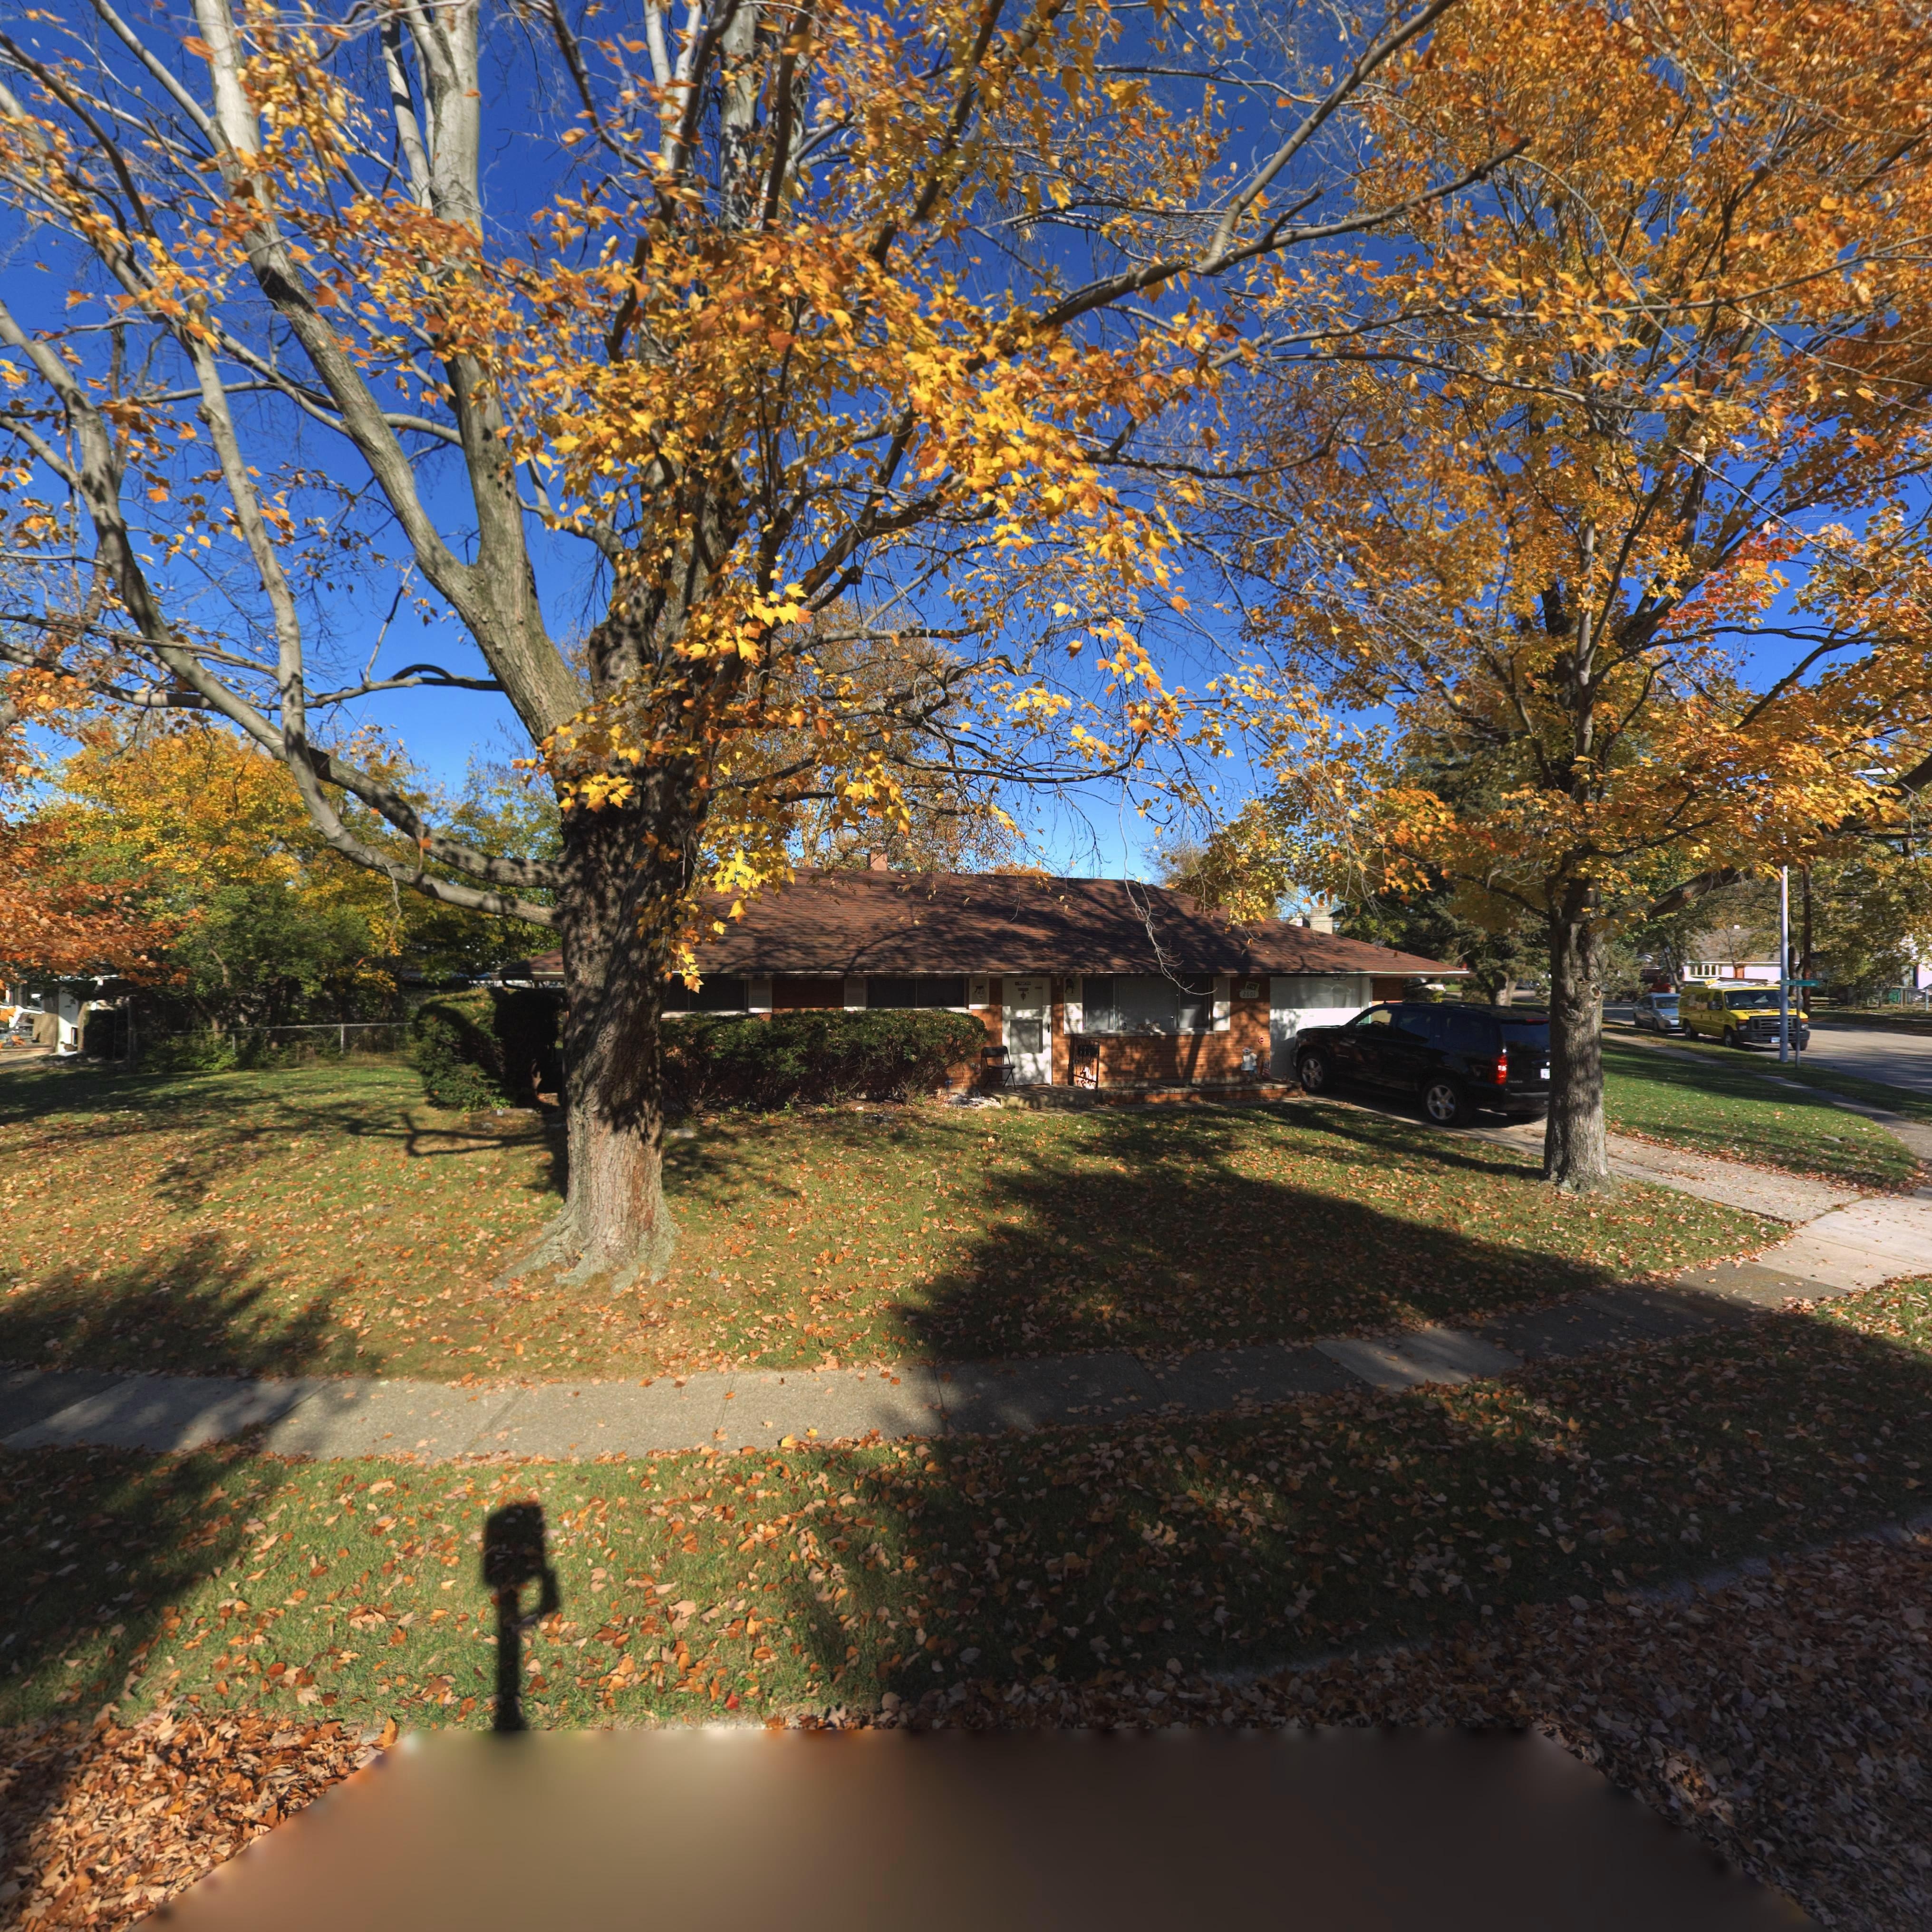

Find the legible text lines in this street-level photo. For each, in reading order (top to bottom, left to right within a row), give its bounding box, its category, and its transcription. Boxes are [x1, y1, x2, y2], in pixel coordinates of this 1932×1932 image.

[1242, 991, 1256, 998] StreetNumber: 2601